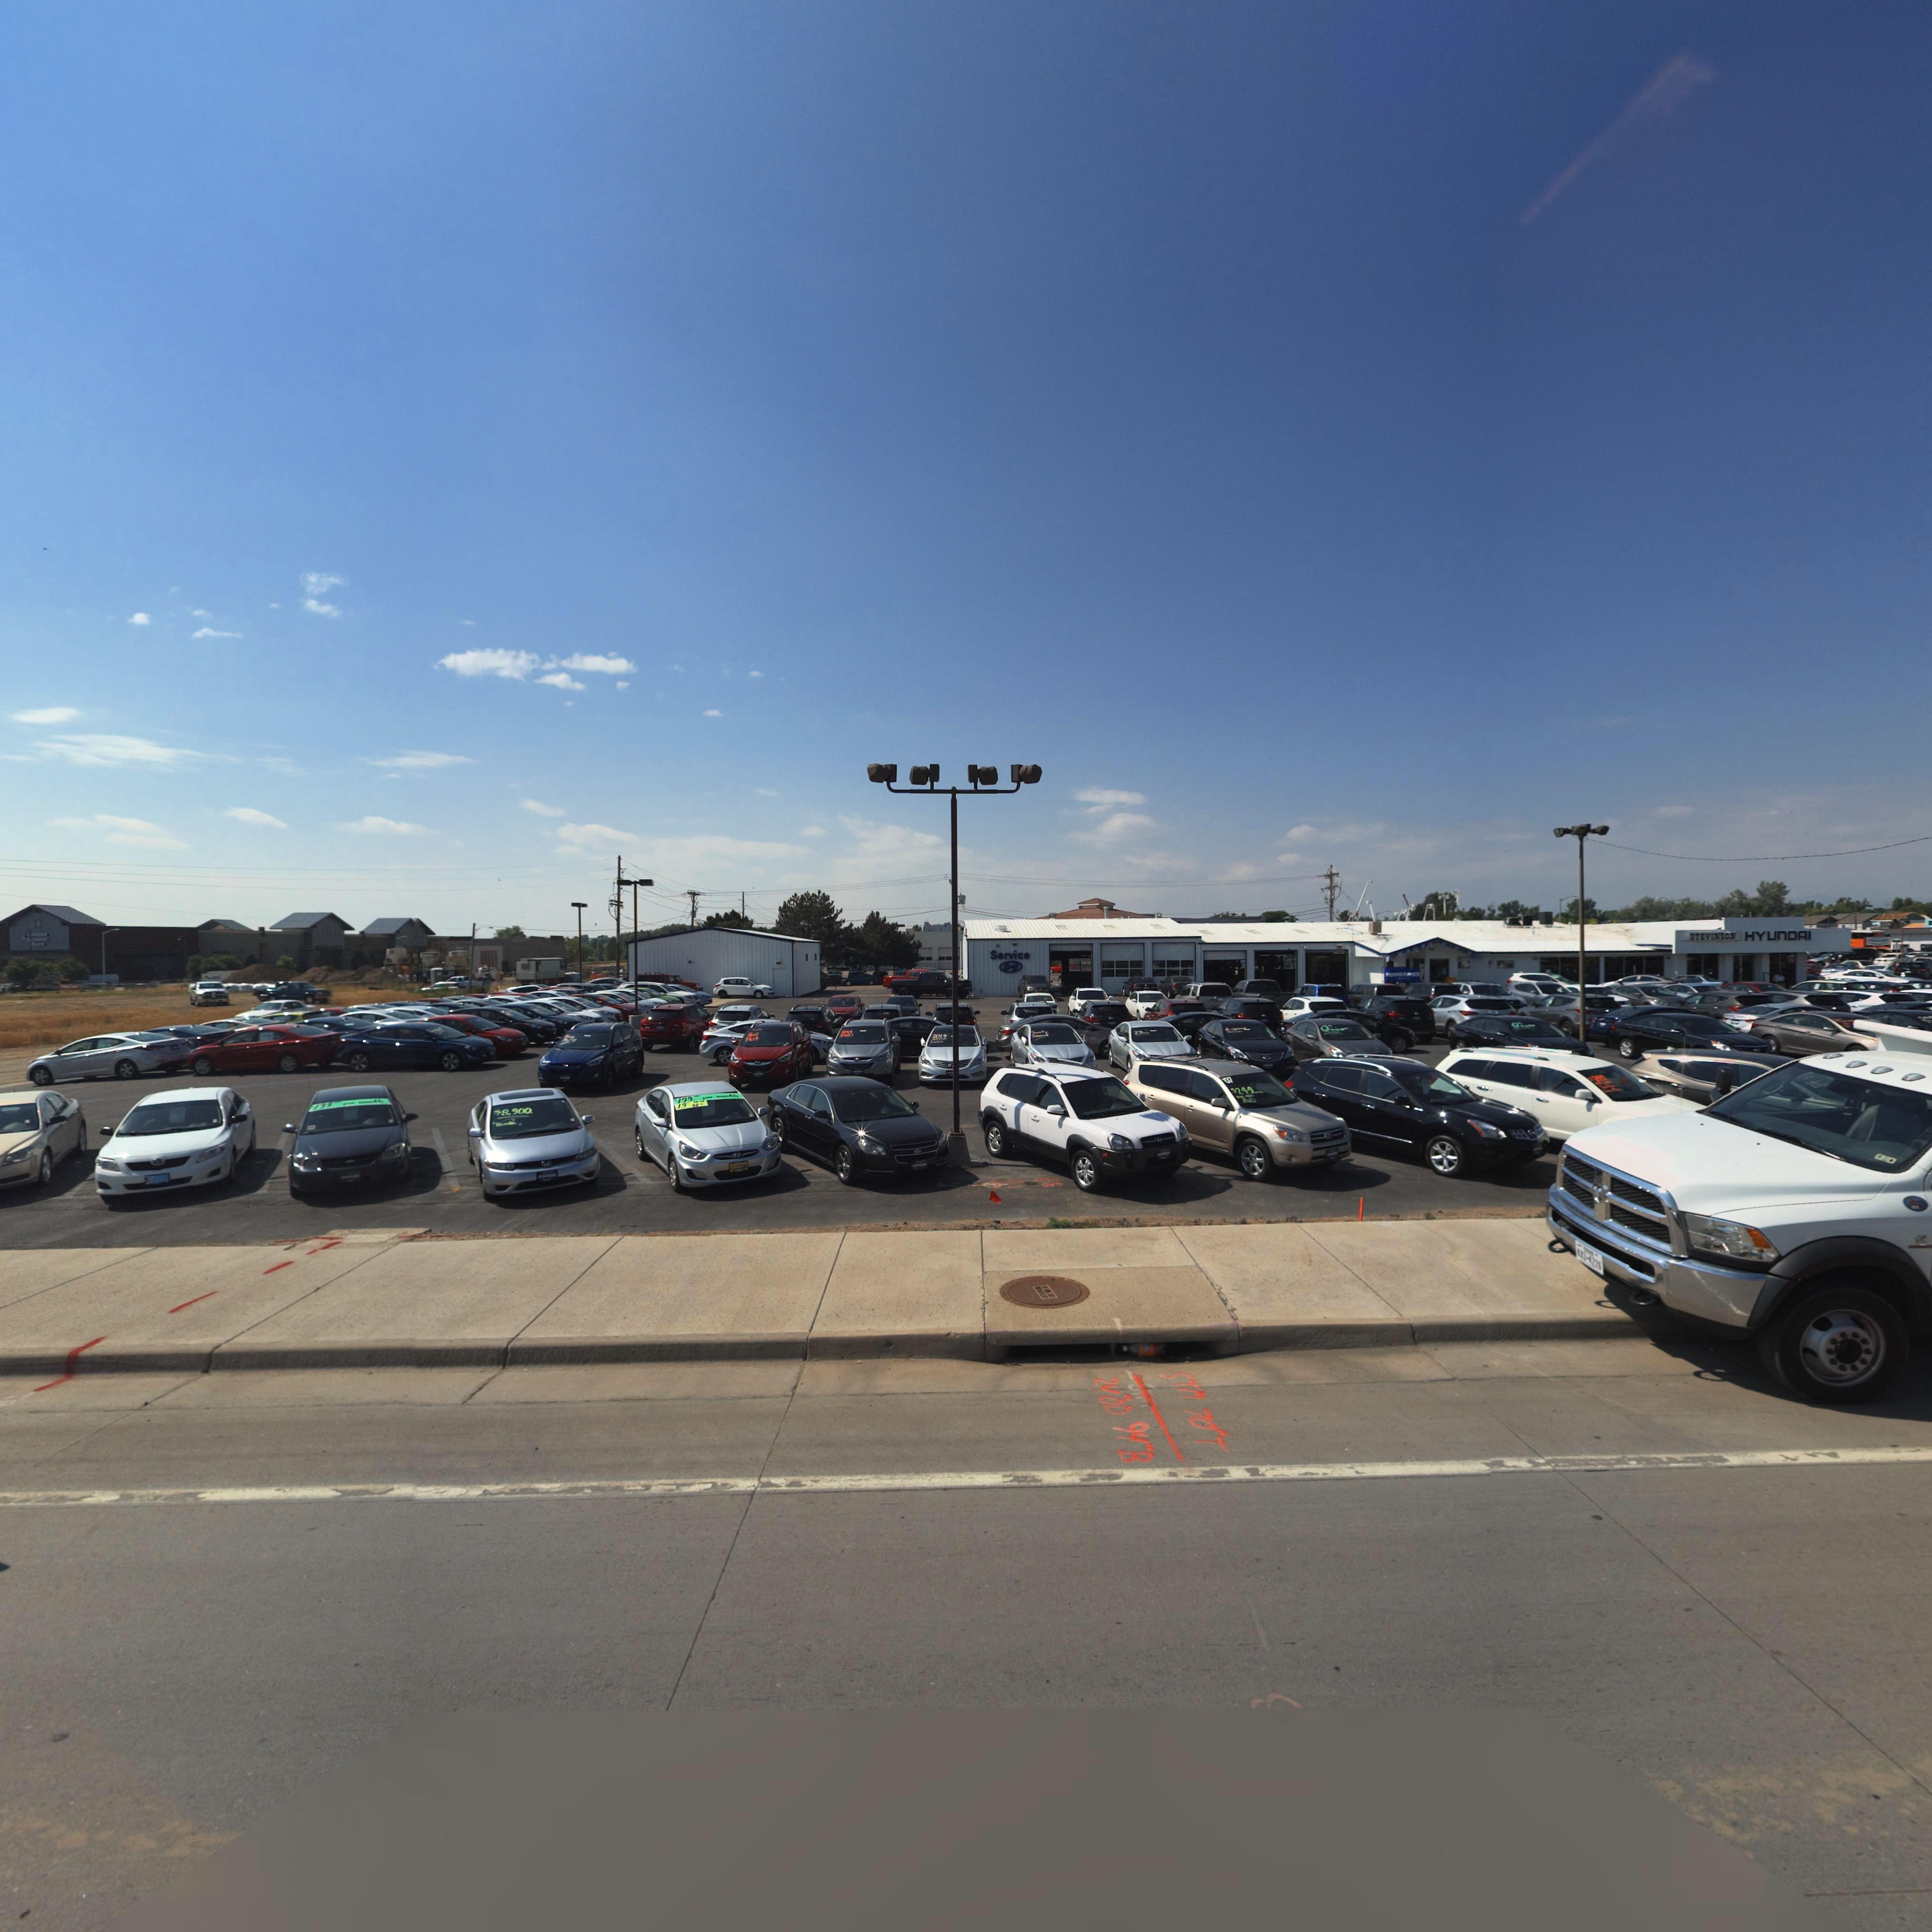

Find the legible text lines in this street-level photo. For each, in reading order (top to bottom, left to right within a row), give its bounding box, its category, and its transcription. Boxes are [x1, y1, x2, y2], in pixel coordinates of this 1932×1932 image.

[1690, 932, 1736, 940] BusinessName: STEVINSON
[1744, 930, 1811, 941] BusinessName: HYUnDAI